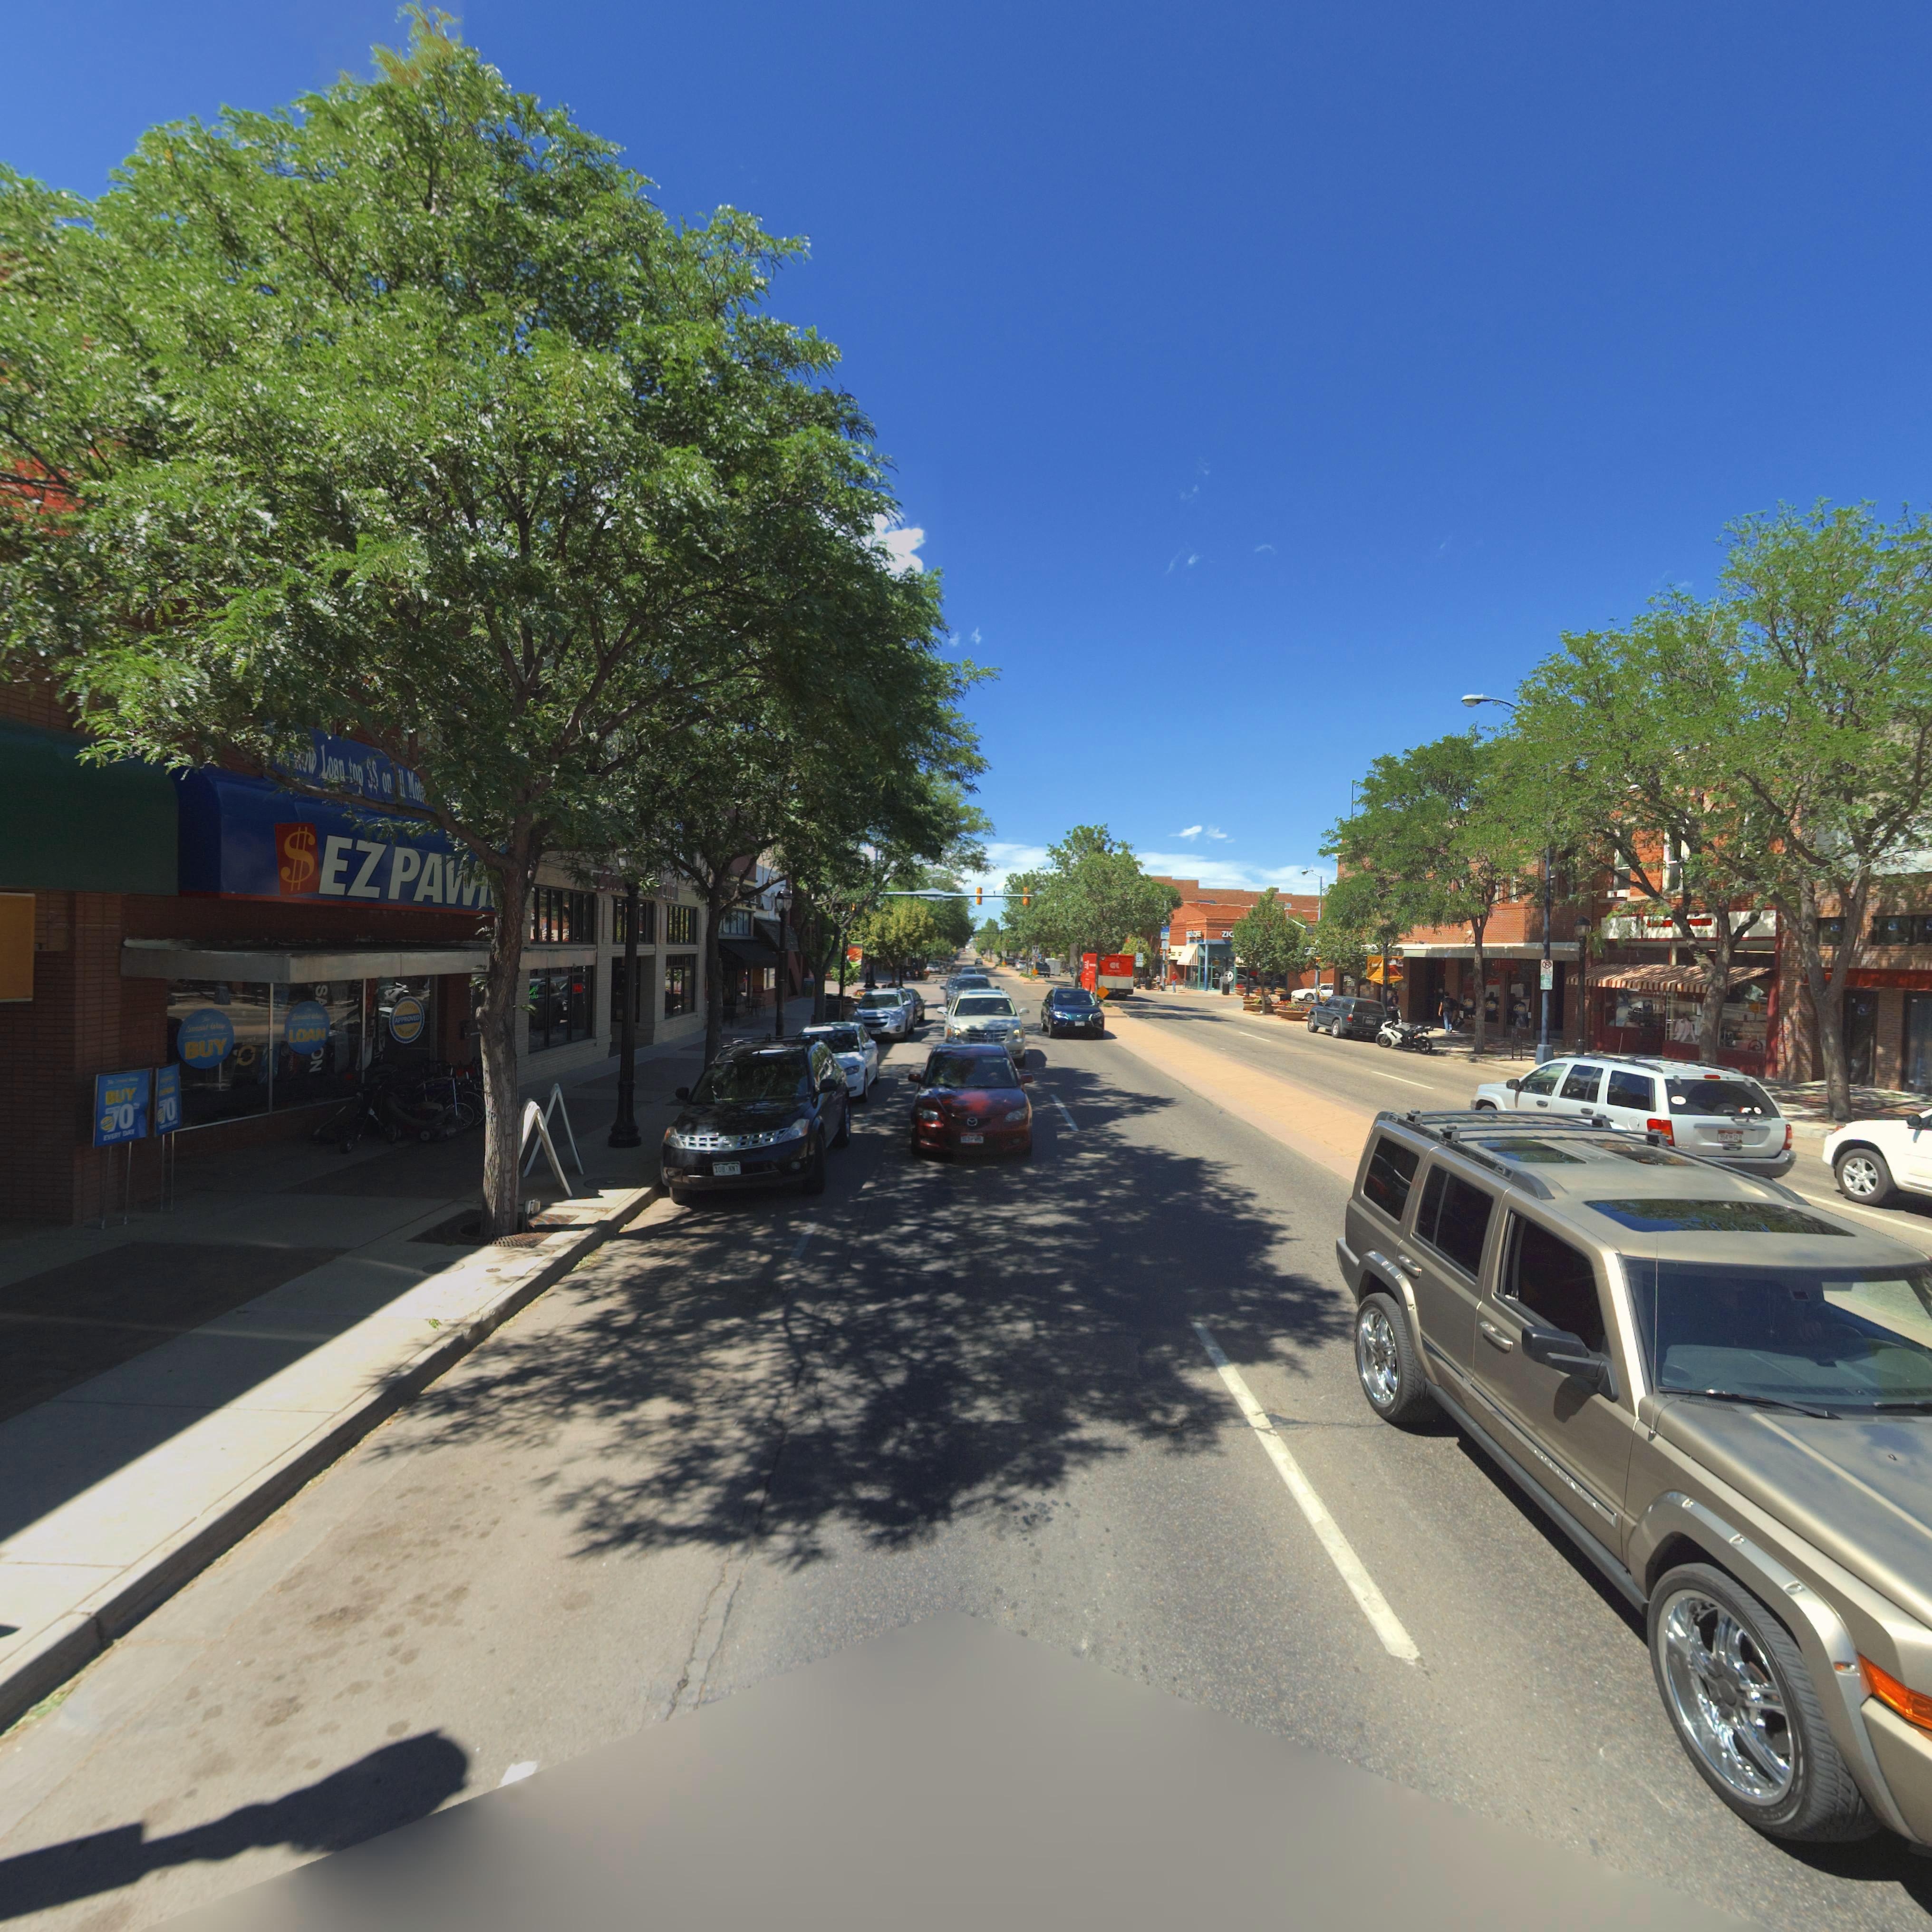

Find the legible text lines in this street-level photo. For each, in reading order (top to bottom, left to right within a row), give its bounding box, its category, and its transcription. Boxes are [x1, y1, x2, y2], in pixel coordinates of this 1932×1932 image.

[317, 834, 496, 908] BusinessName: EZ PAW*
[594, 865, 679, 902] BusinessName: Br**********
[1221, 930, 1235, 937] BusinessName: ZIG